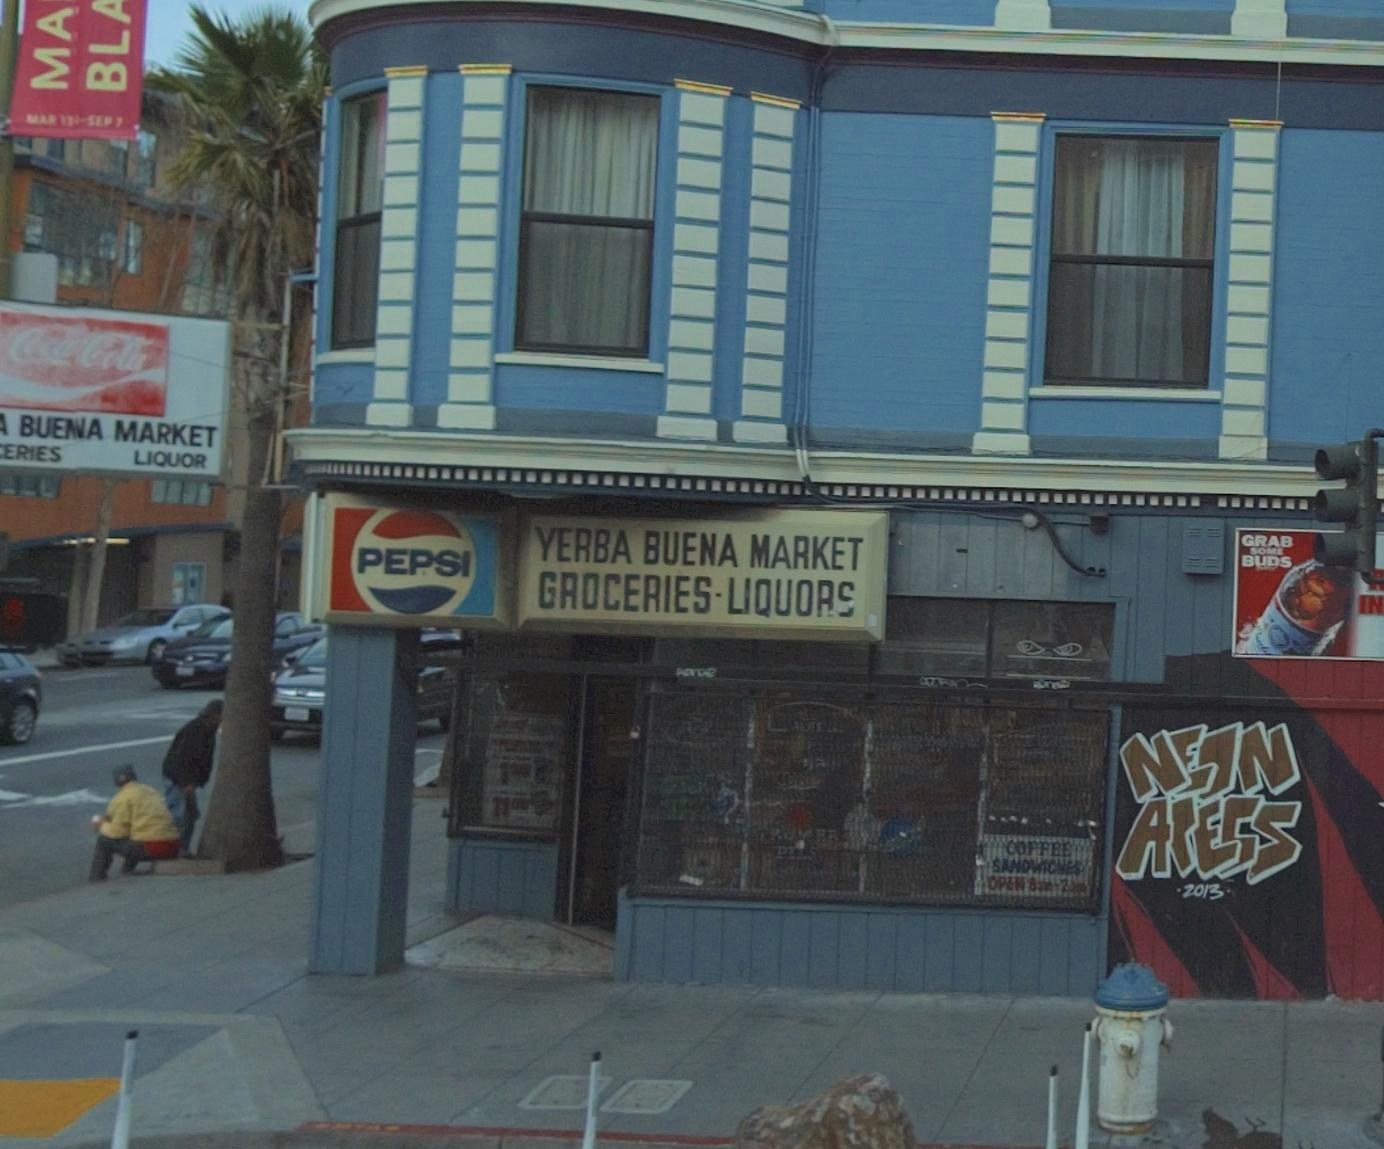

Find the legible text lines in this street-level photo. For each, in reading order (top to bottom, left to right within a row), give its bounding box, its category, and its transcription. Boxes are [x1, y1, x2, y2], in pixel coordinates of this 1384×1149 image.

[27, 3, 77, 93] None: MA
[82, 26, 133, 95] None: BL
[16, 410, 221, 451] BusinessName: BUE*A MARKET
[0, 440, 65, 466] None: ERIES
[130, 447, 210, 472] None: LIQUOR
[354, 543, 476, 580] None: PEPSI
[530, 522, 869, 574] BusinessName: YERBA BUENA MARKET
[1240, 551, 1294, 570] None: BUDS
[1239, 532, 1296, 549] None: GRAB
[1249, 545, 1287, 557] None: SOME
[535, 568, 858, 621] None: GROCERIES - LIQUOR*
[1357, 592, 1384, 616] None: IN
[1118, 730, 1189, 801] None: N
[1003, 837, 1074, 859] None: COFFEE
[1115, 796, 1173, 878] None: A
[989, 855, 1085, 879] None: SANDWIC***
[982, 873, 1028, 893] None: OPEN
[1180, 880, 1229, 903] None: 2013